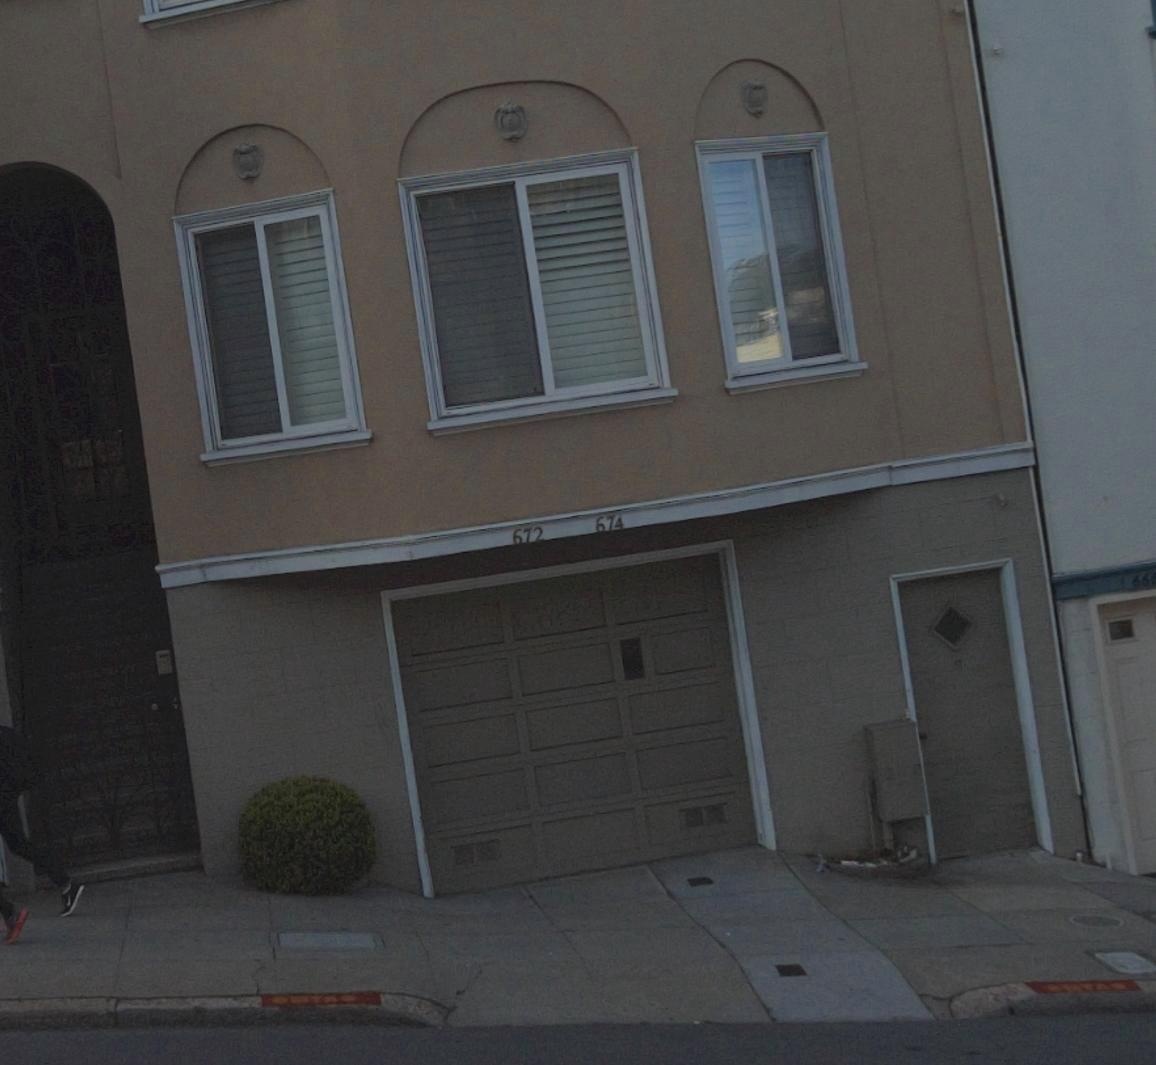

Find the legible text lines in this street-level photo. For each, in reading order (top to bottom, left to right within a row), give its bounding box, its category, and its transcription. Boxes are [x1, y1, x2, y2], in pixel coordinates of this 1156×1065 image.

[509, 522, 547, 548] StreetNumber: 672
[592, 511, 626, 537] StreetNumber: 674